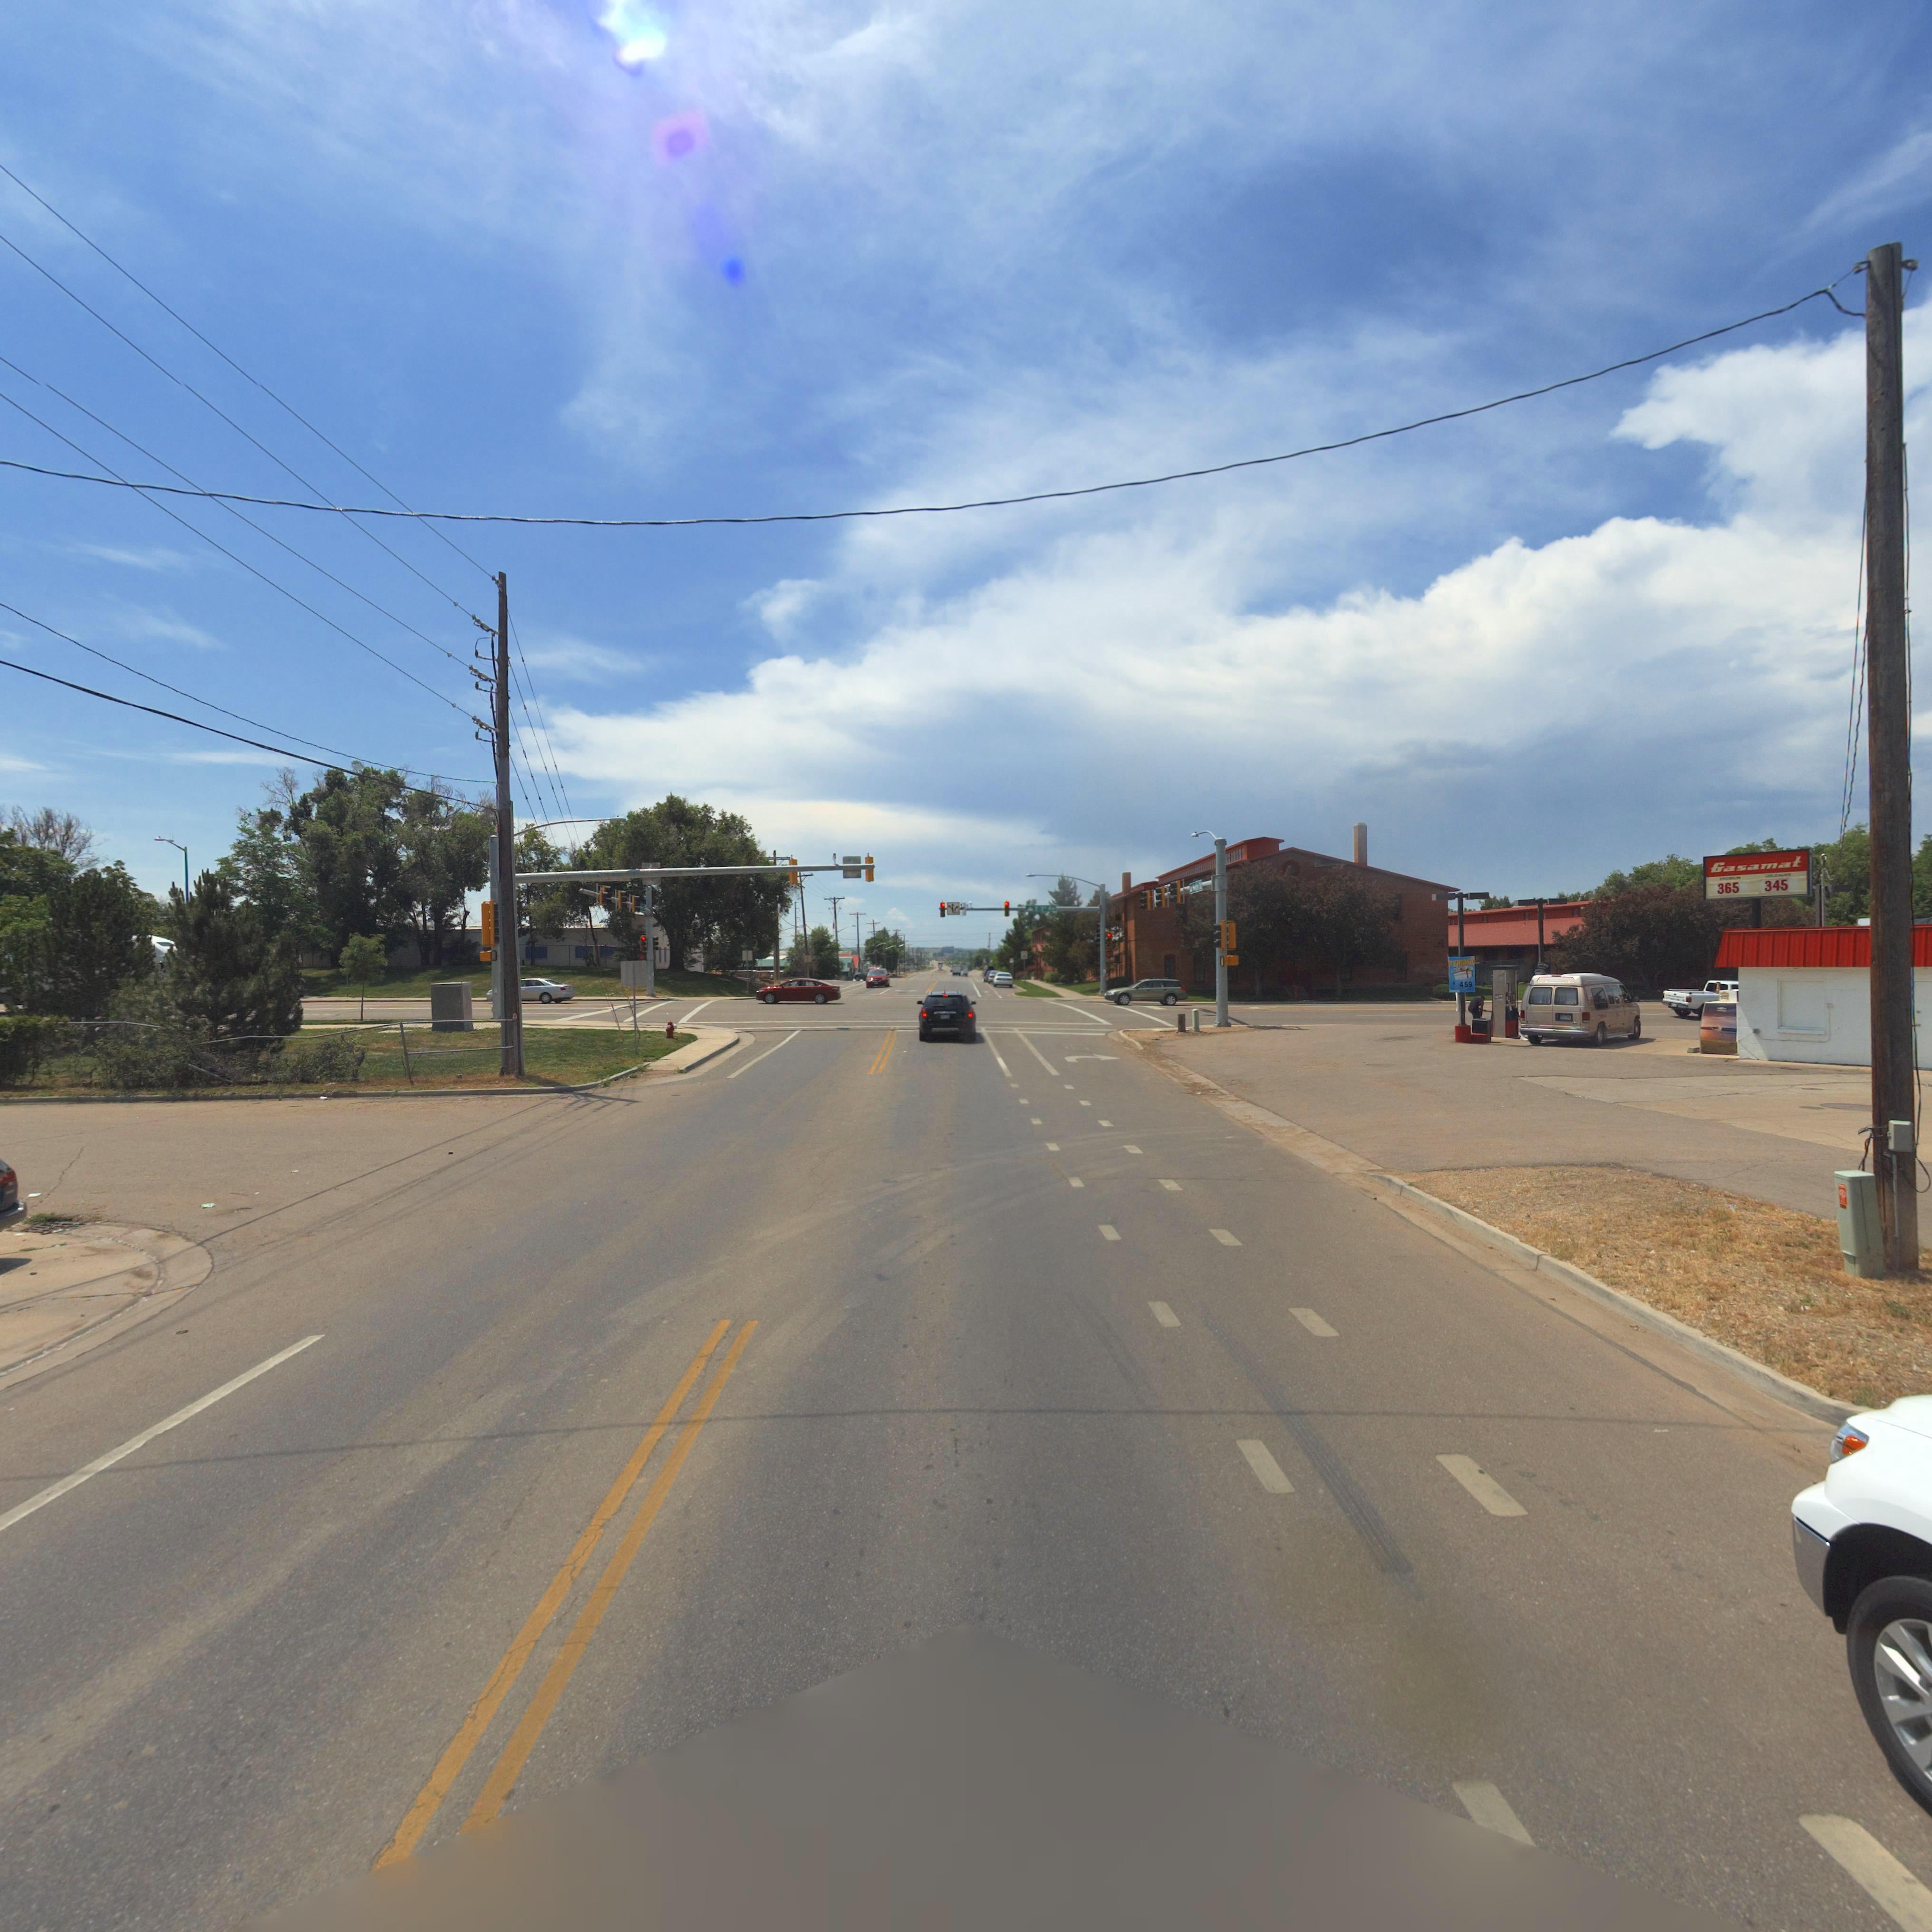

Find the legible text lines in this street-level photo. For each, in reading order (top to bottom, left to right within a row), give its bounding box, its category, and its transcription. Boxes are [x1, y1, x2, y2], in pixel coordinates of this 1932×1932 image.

[1710, 855, 1801, 873] BusinessName: Gasamat
[1035, 906, 1055, 911] StreetName: E 3**  Av